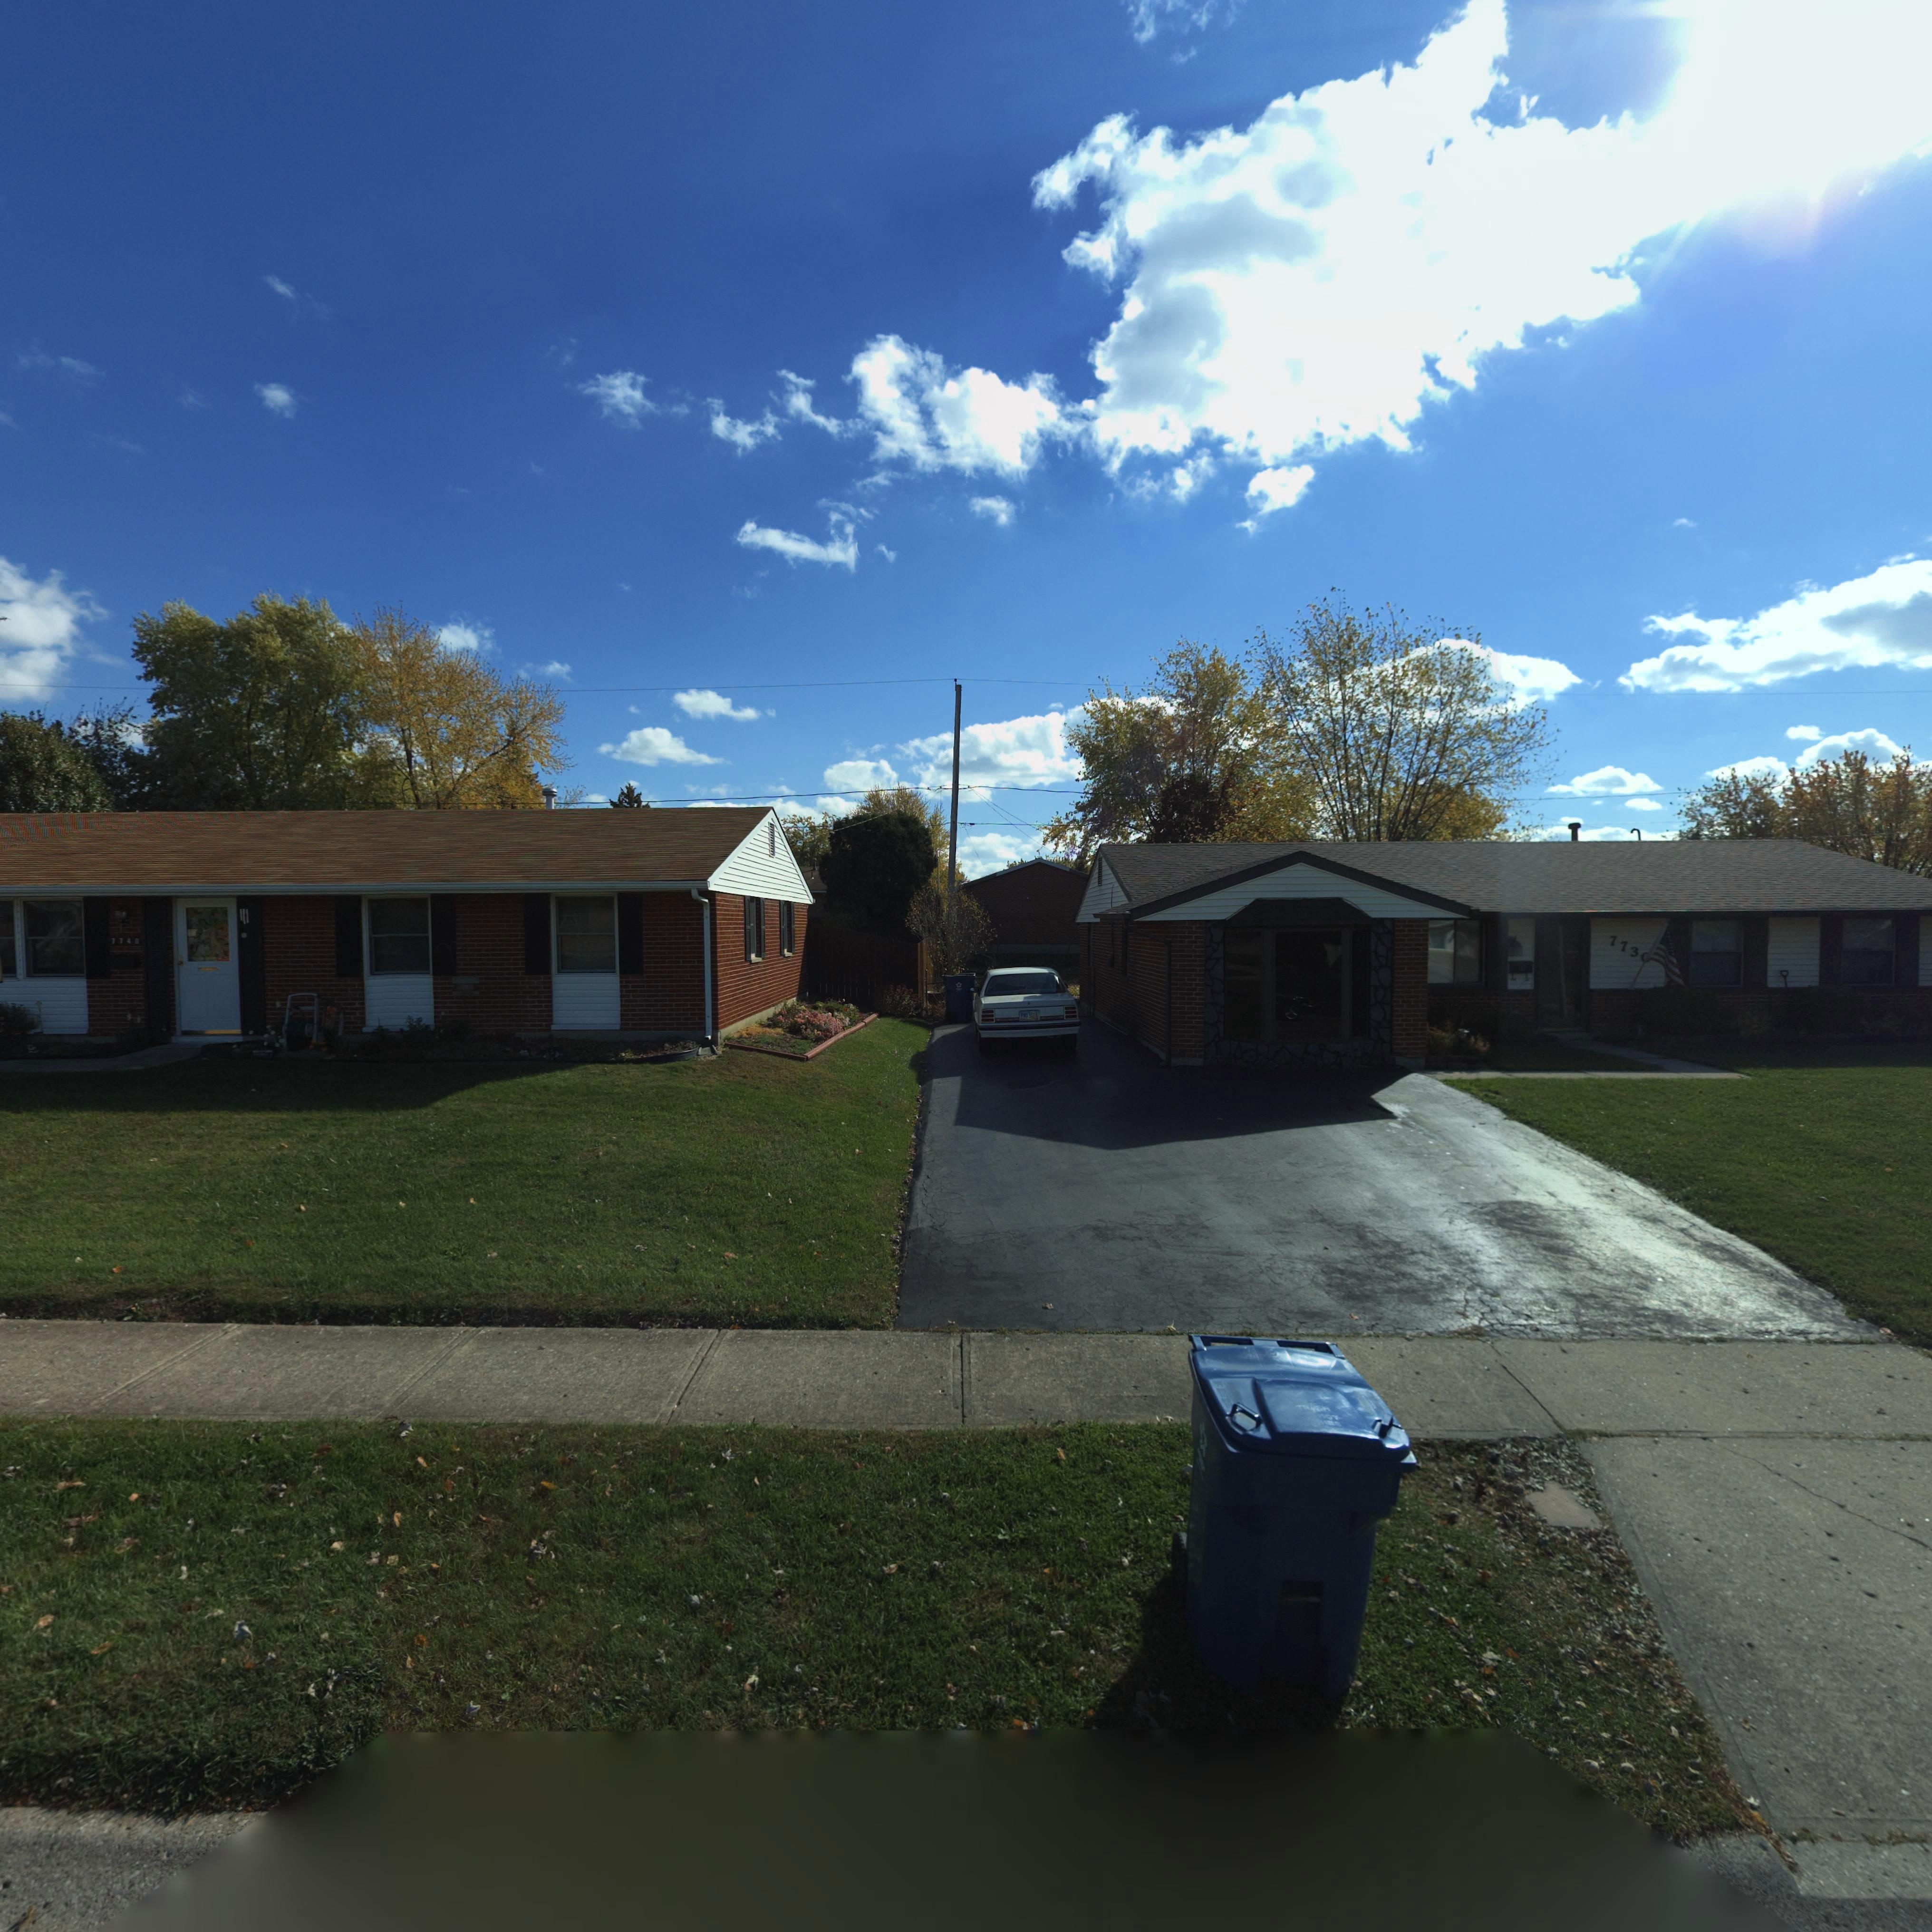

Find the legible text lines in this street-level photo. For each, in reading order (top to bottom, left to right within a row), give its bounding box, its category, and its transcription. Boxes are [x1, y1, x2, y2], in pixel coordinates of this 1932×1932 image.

[110, 936, 141, 946] StreetNumber: 7740
[1610, 935, 1639, 958] StreetNumber: 773